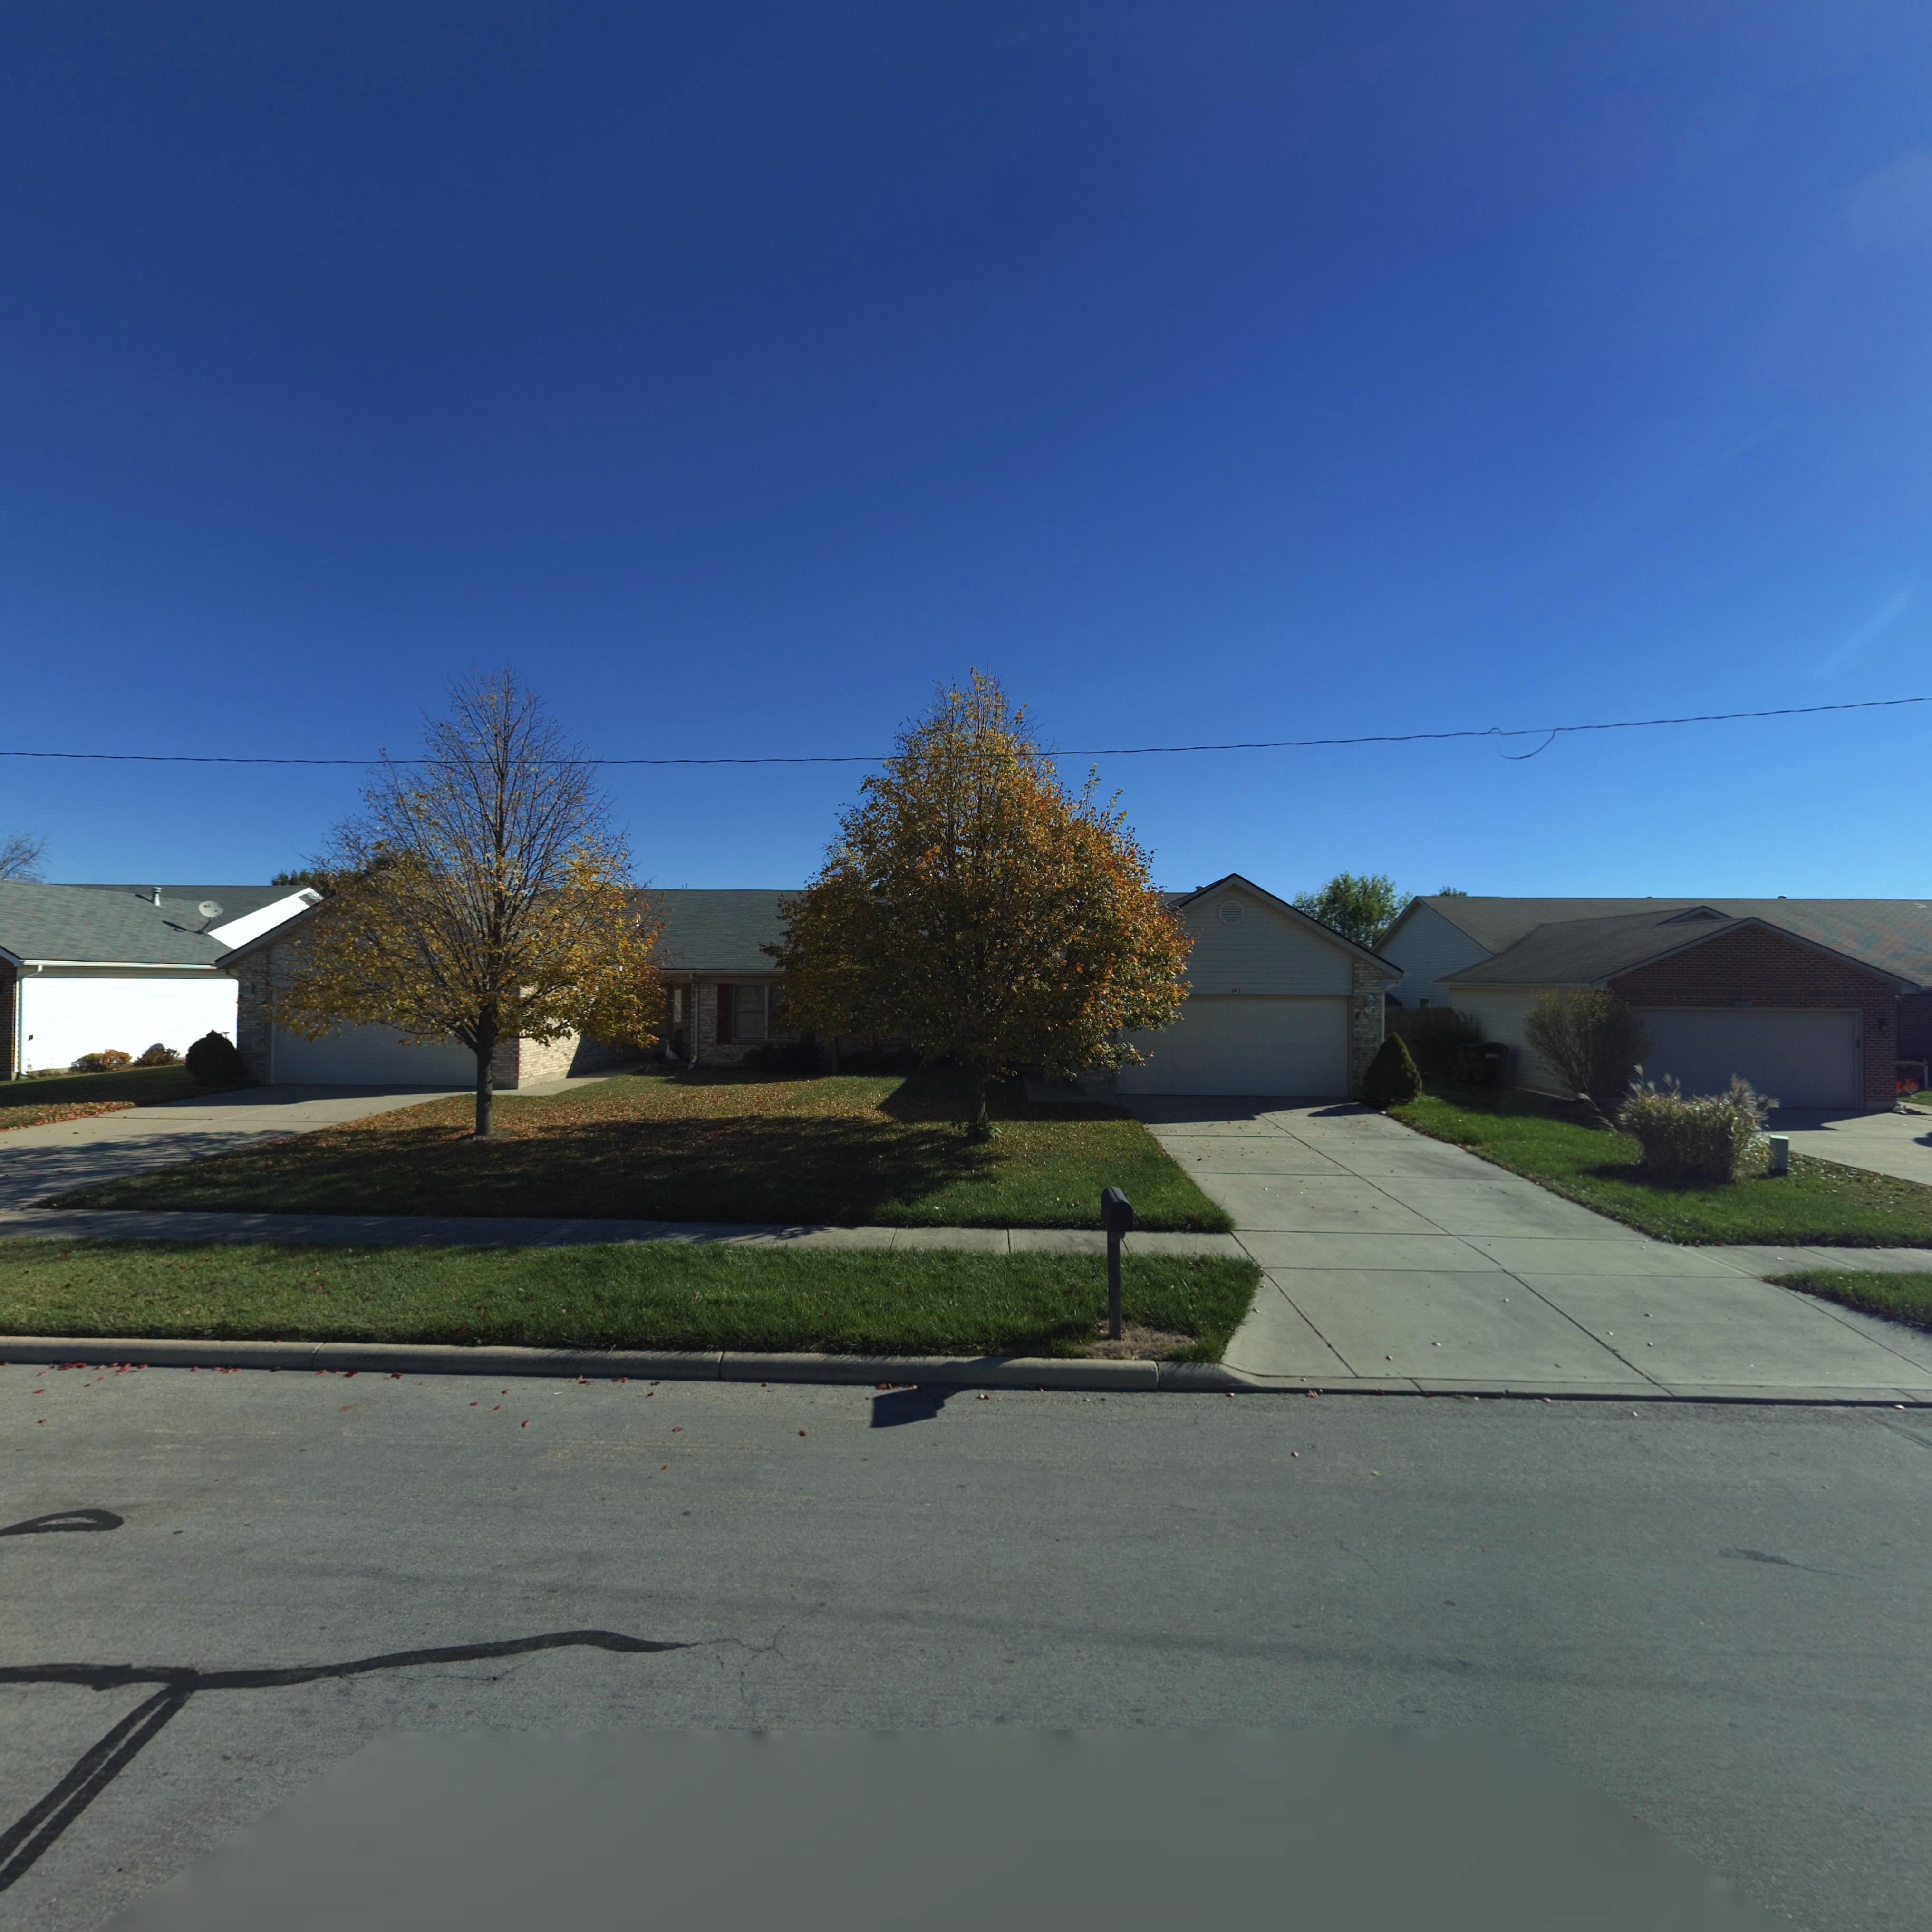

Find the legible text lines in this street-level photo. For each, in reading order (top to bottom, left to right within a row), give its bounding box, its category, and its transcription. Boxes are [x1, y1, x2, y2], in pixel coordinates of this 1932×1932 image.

[1231, 988, 1241, 994] StreetNumber: 143